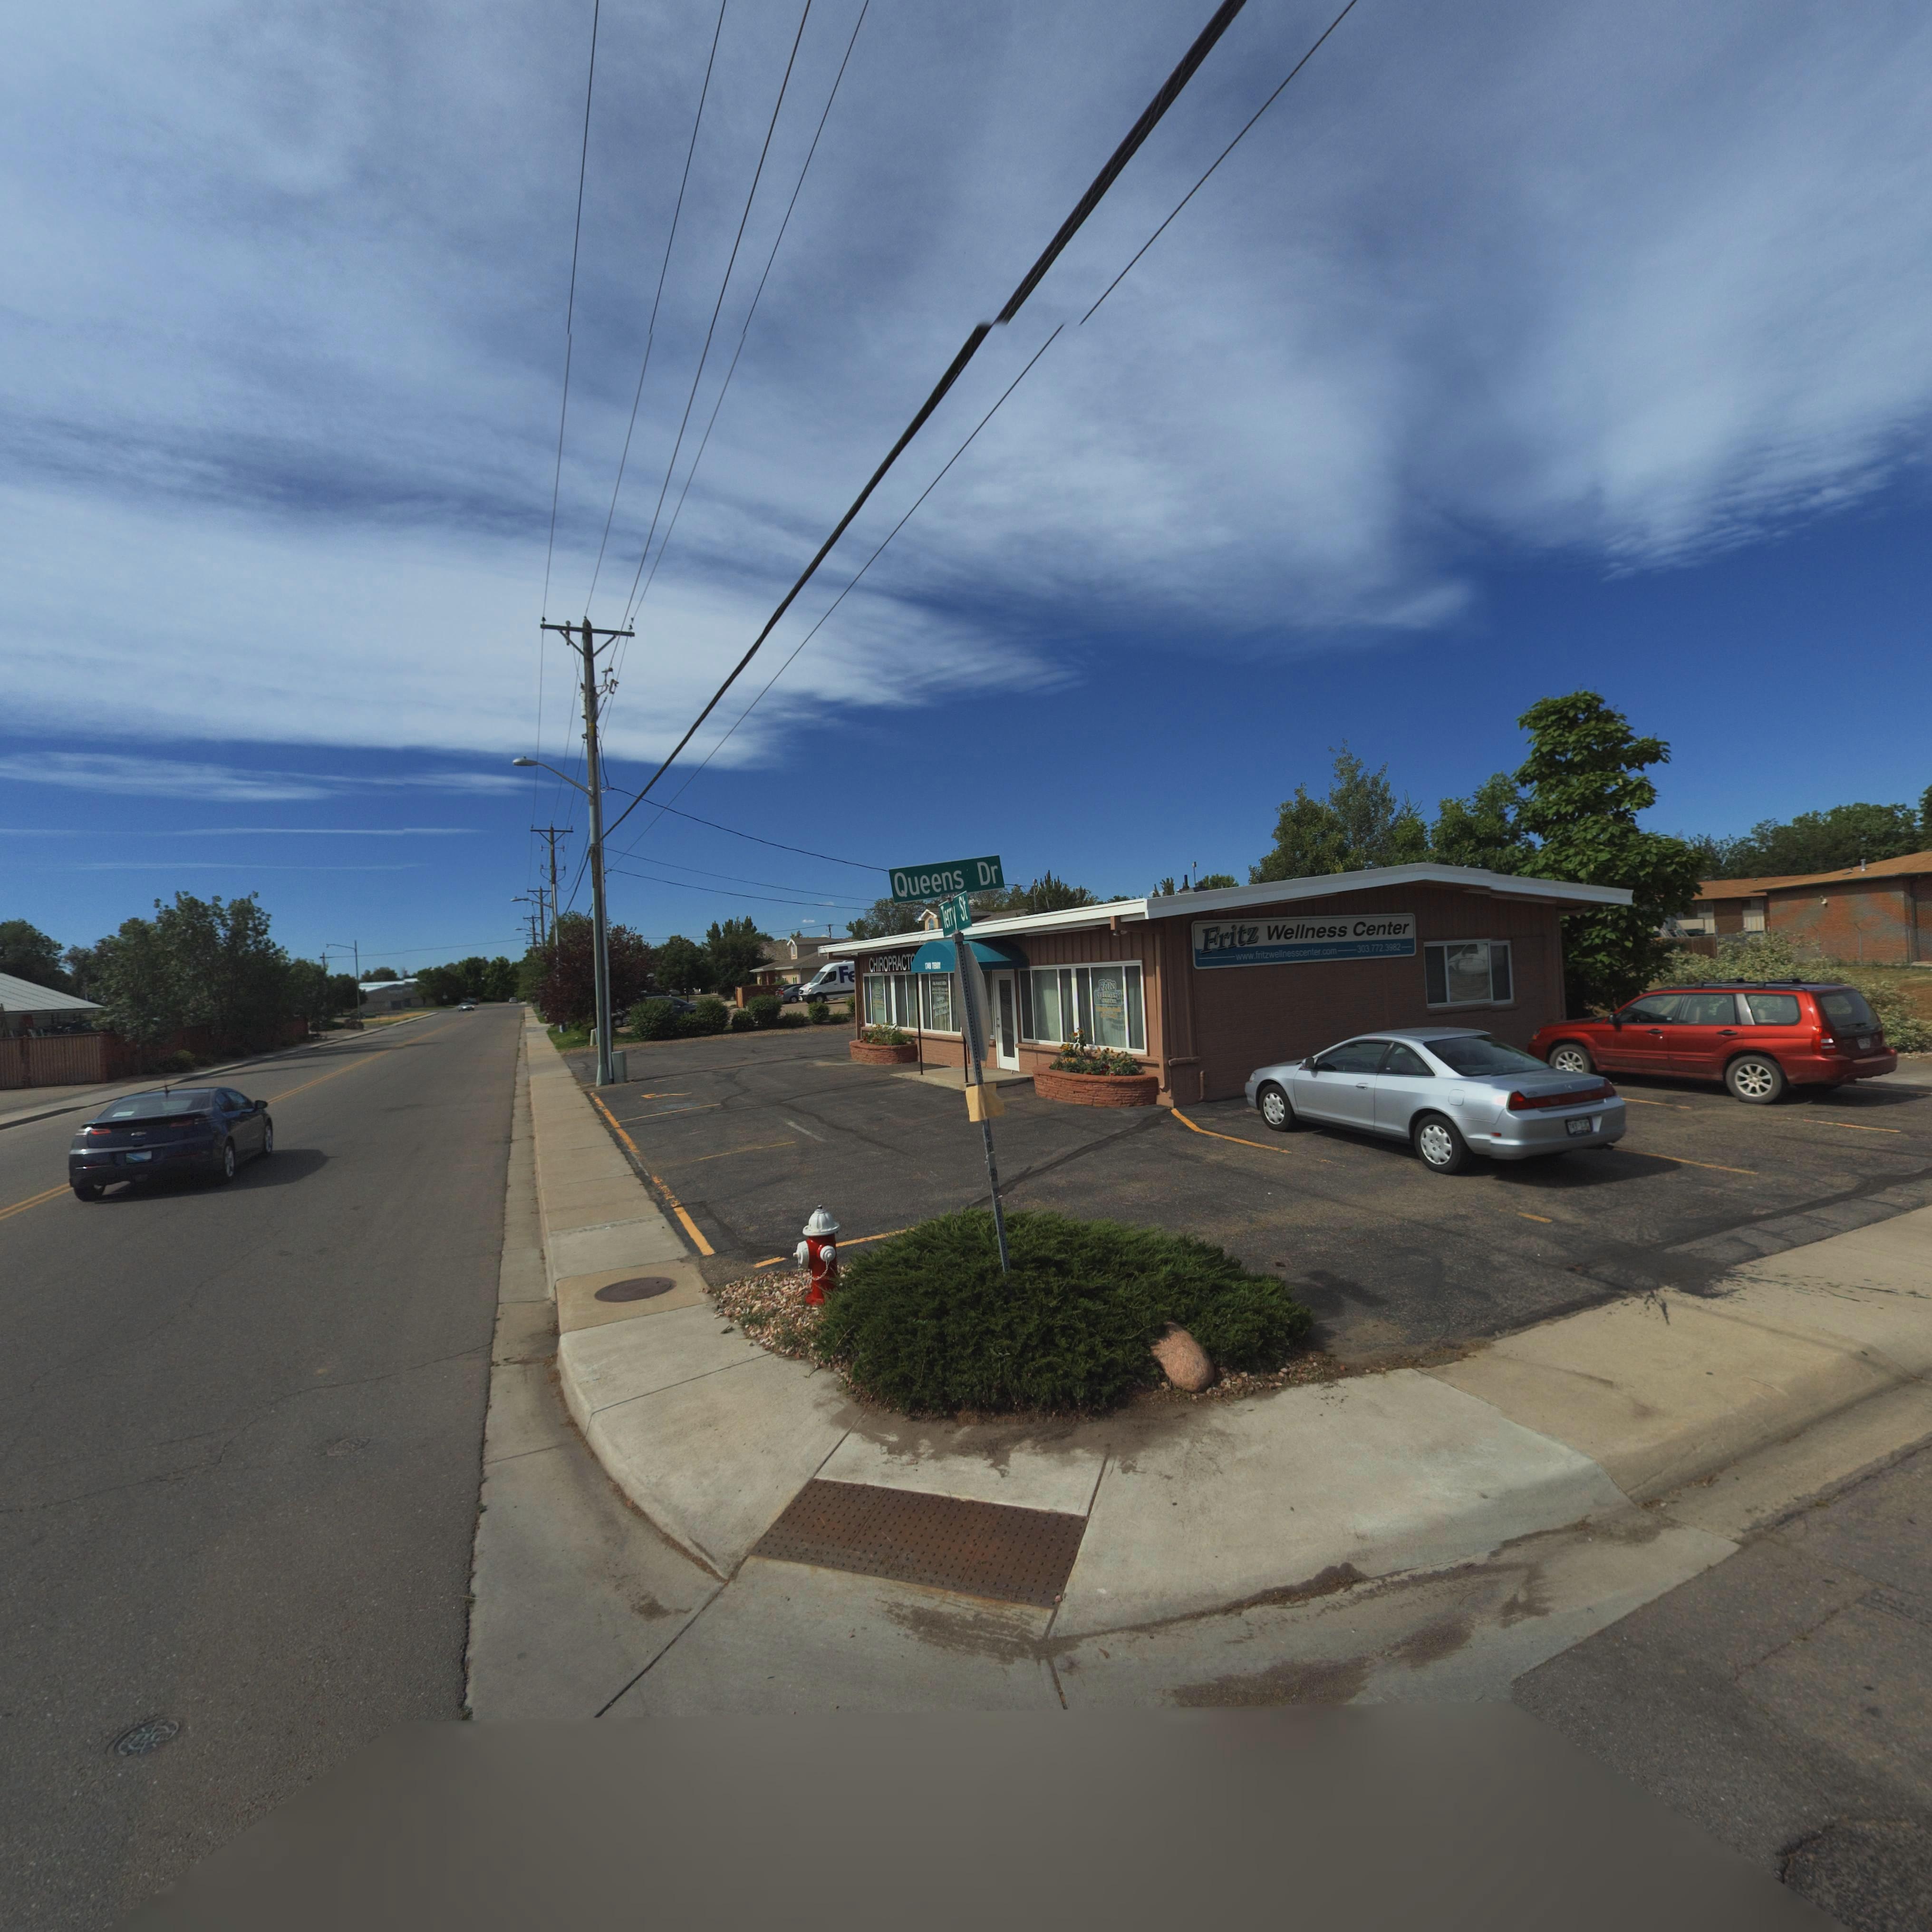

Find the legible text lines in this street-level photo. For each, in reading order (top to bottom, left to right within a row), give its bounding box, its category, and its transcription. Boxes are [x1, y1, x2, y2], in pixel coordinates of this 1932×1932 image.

[893, 860, 998, 898] StreetName: Queens Dr
[939, 895, 969, 931] StreetName: Terry St
[1198, 921, 1410, 955] BusinessName: Fritz Wellness Center
[924, 962, 931, 970] StreetNumber: 1749
[931, 961, 941, 970] StreetName: TE**Y
[1098, 978, 1117, 992] BusinessName: Fritz
[1095, 990, 1122, 1001] BusinessName: W*L***SS